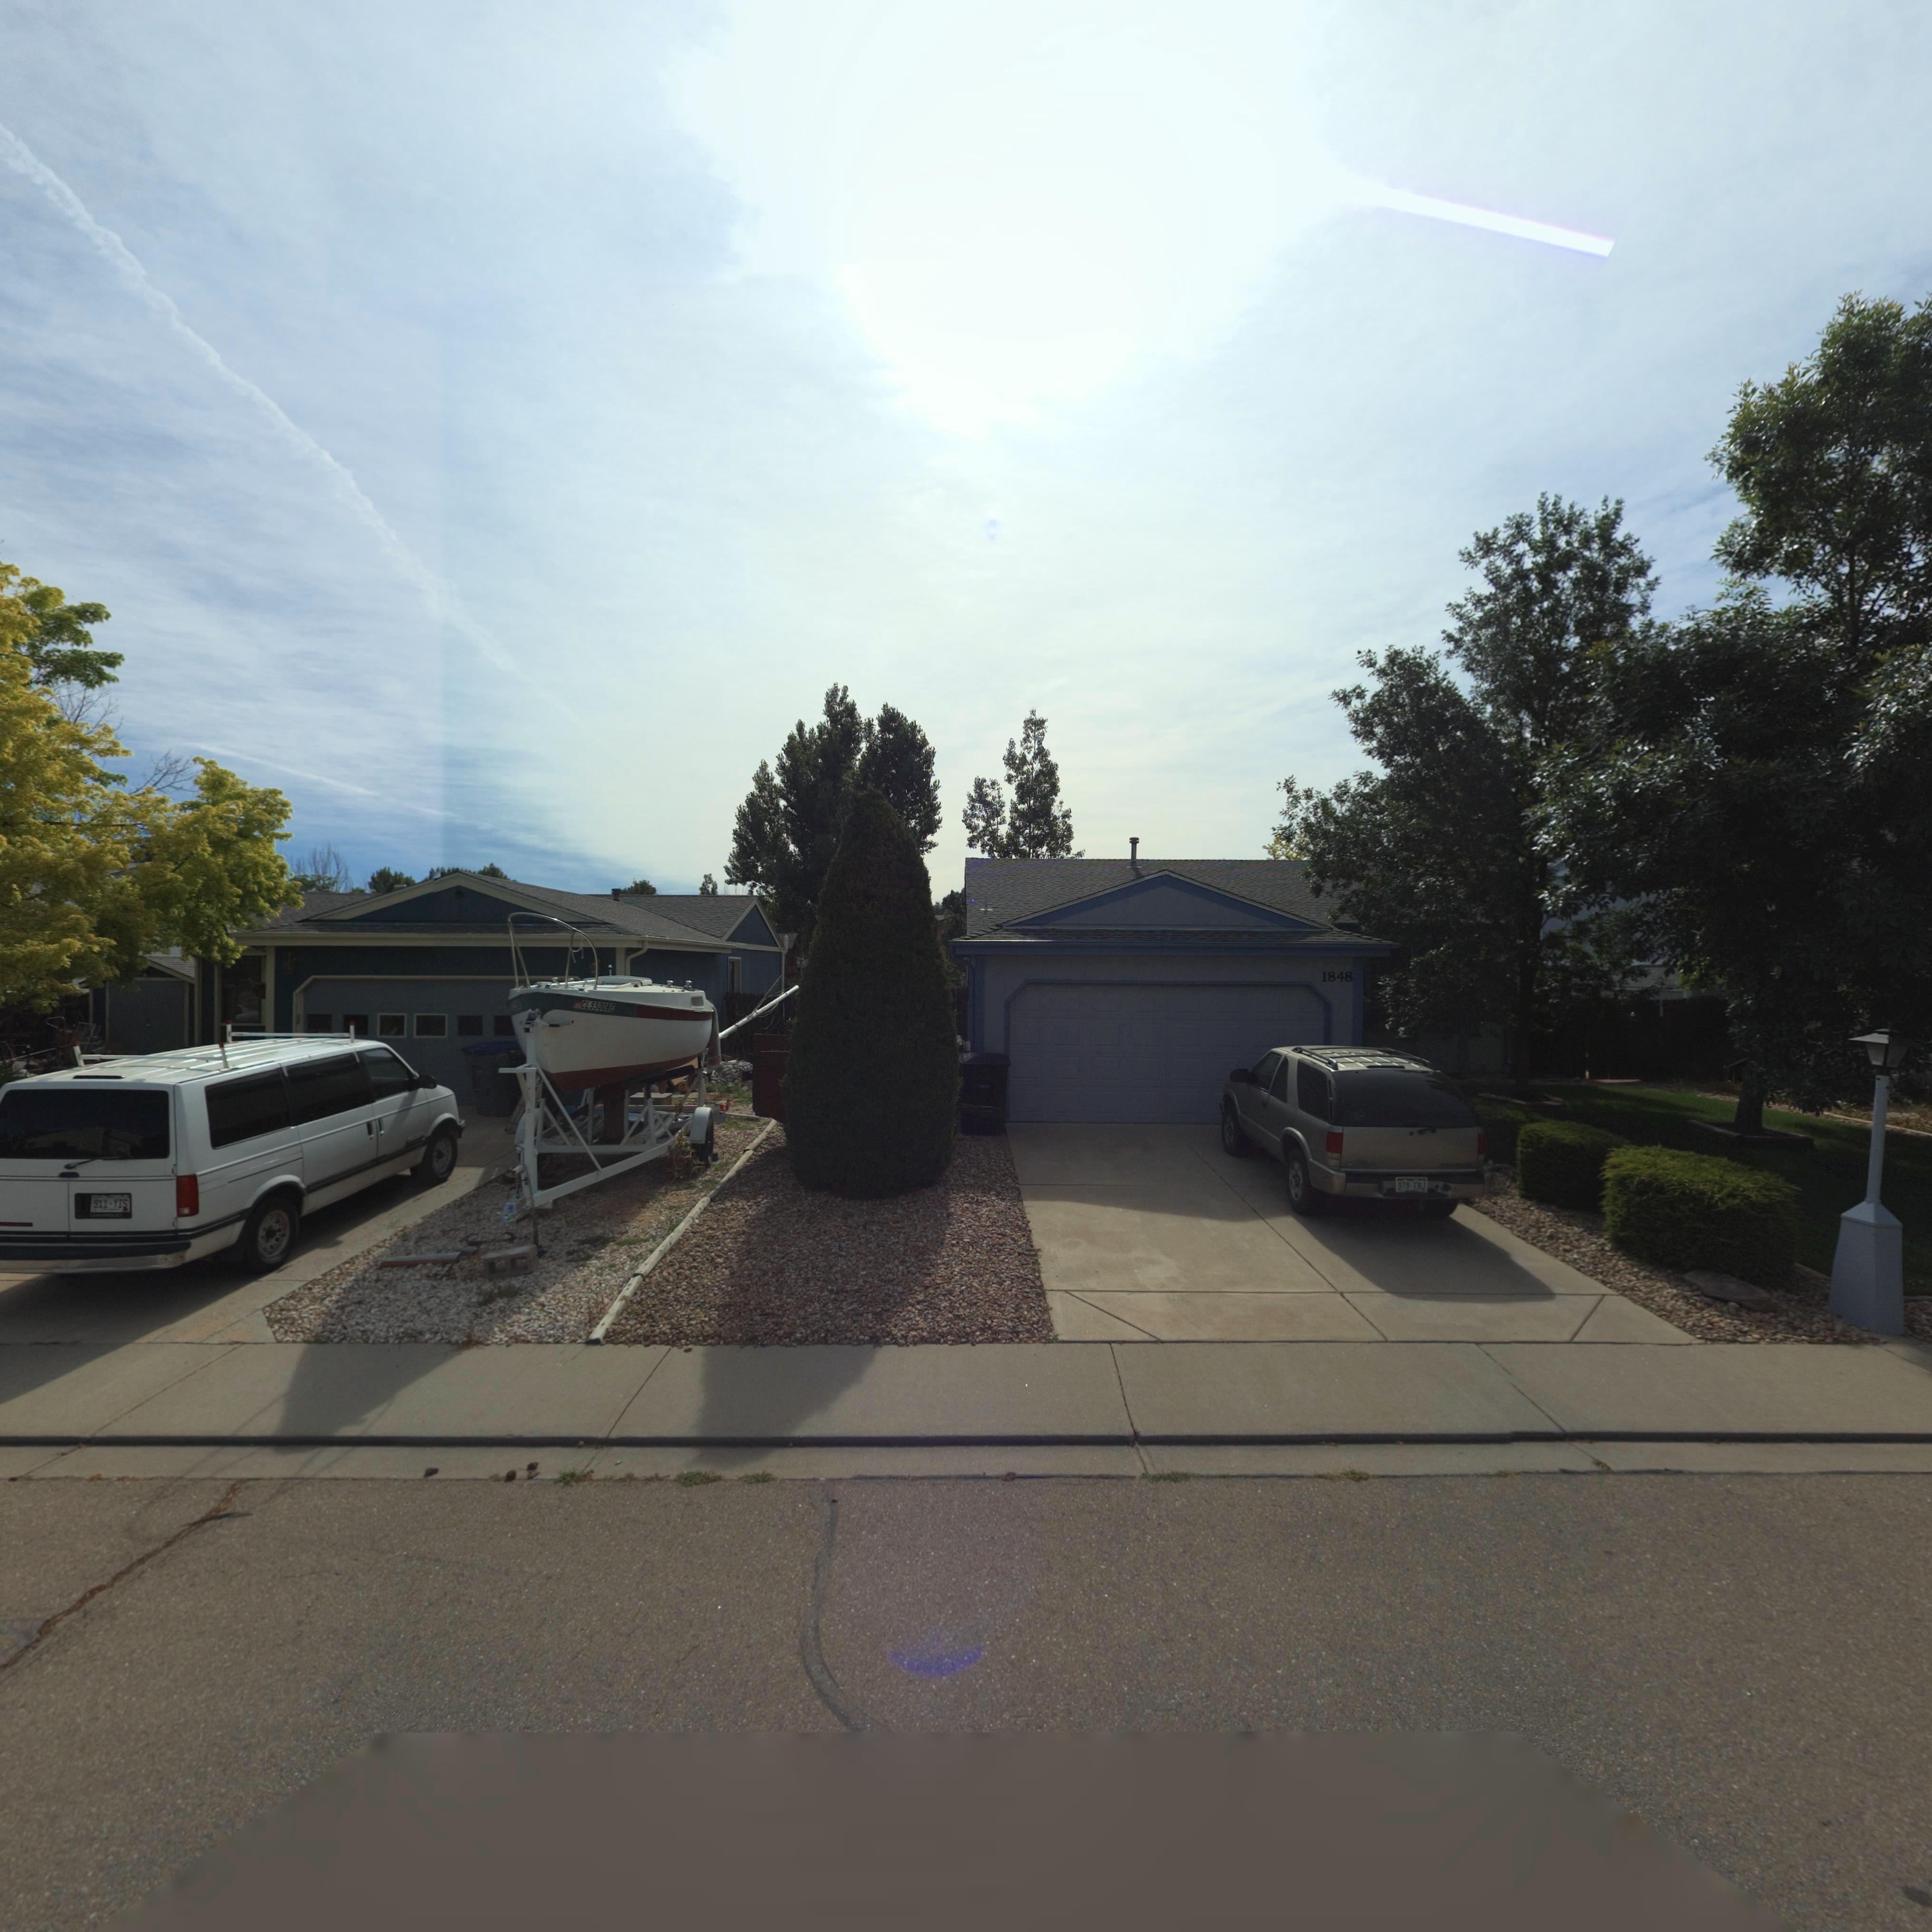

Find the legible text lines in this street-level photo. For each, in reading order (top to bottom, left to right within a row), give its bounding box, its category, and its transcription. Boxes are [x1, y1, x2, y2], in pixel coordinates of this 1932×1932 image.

[1321, 970, 1354, 983] StreetNumber: 1848